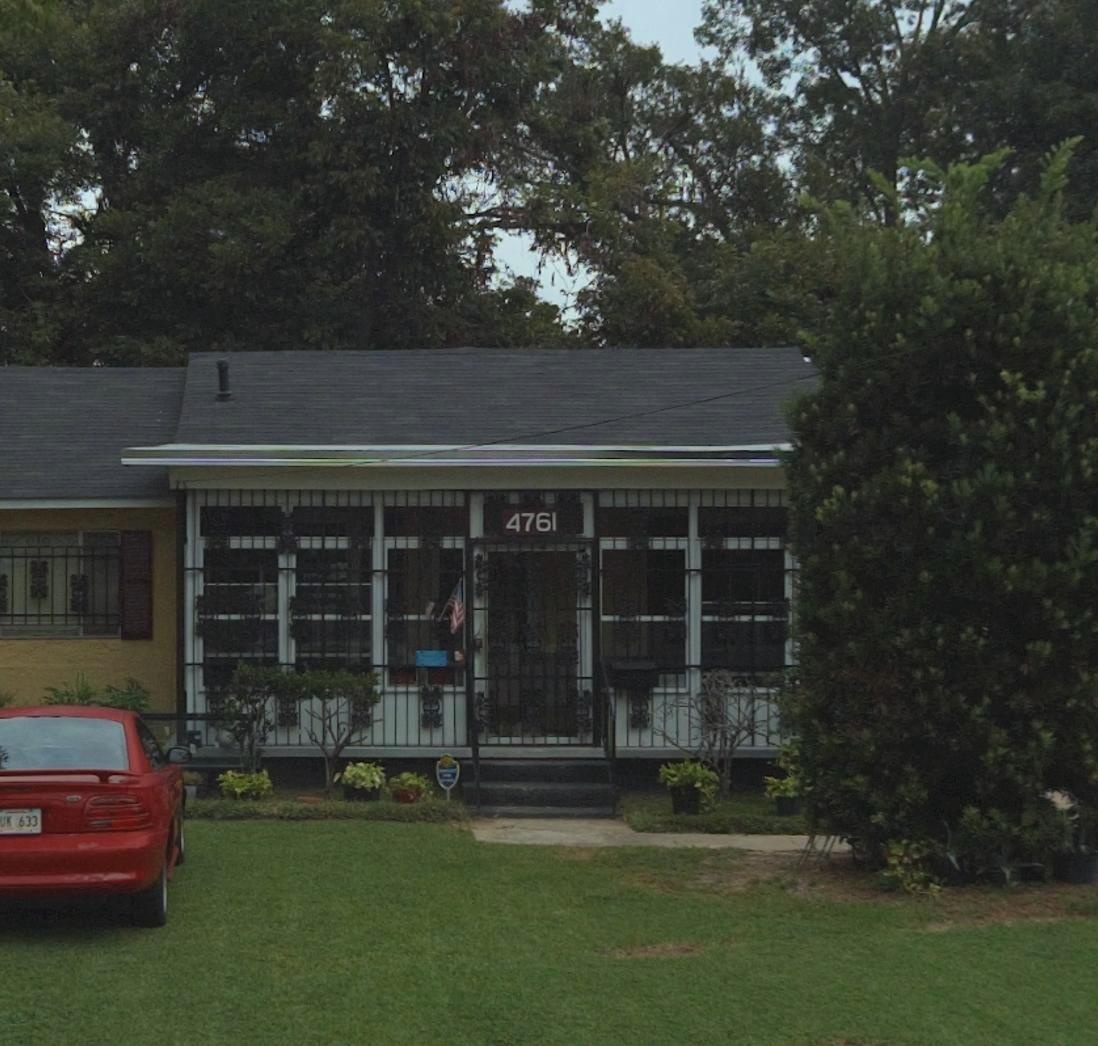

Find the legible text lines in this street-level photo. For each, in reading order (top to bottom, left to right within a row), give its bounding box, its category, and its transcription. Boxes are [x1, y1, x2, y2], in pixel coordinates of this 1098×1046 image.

[505, 511, 558, 533] StreetNumber: 4761
[1, 815, 39, 828] None: UK 633